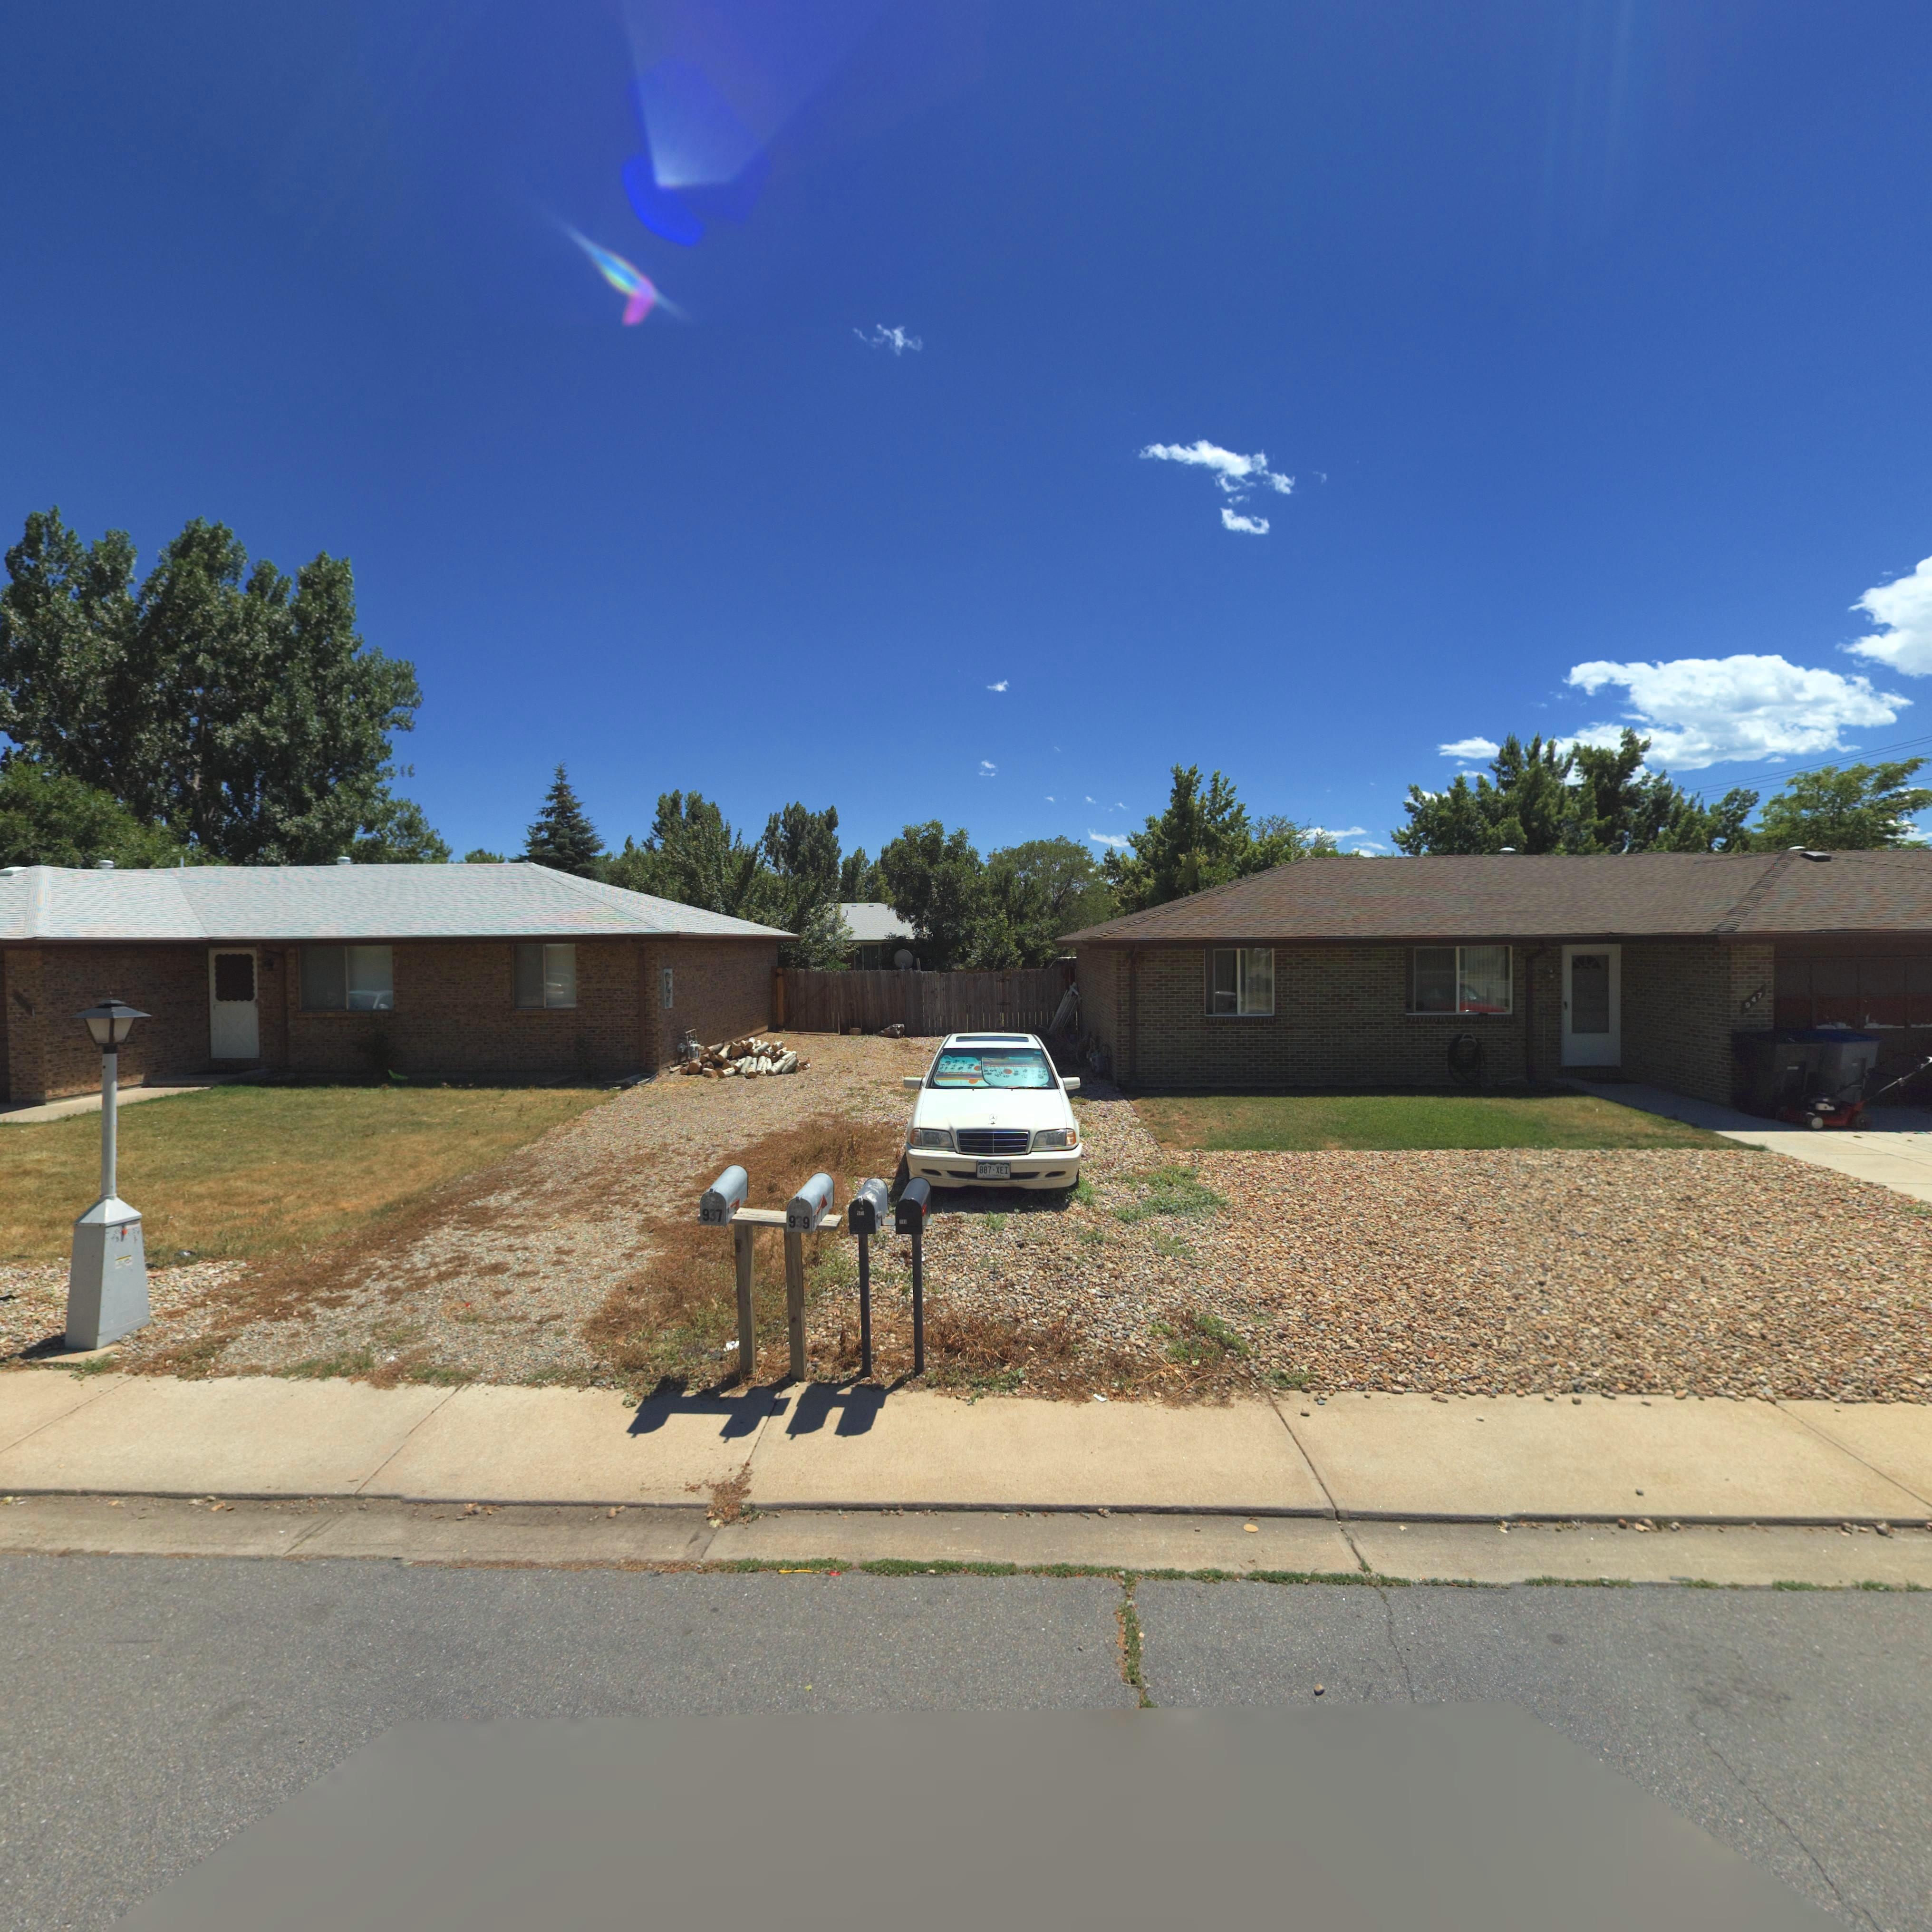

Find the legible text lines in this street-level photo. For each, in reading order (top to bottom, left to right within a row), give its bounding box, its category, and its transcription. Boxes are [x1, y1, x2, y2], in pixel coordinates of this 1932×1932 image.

[1744, 991, 1763, 1009] StreetNumber: 947
[702, 1207, 723, 1222] StreetNumber: 937
[788, 1214, 810, 1229] StreetNumber: 939